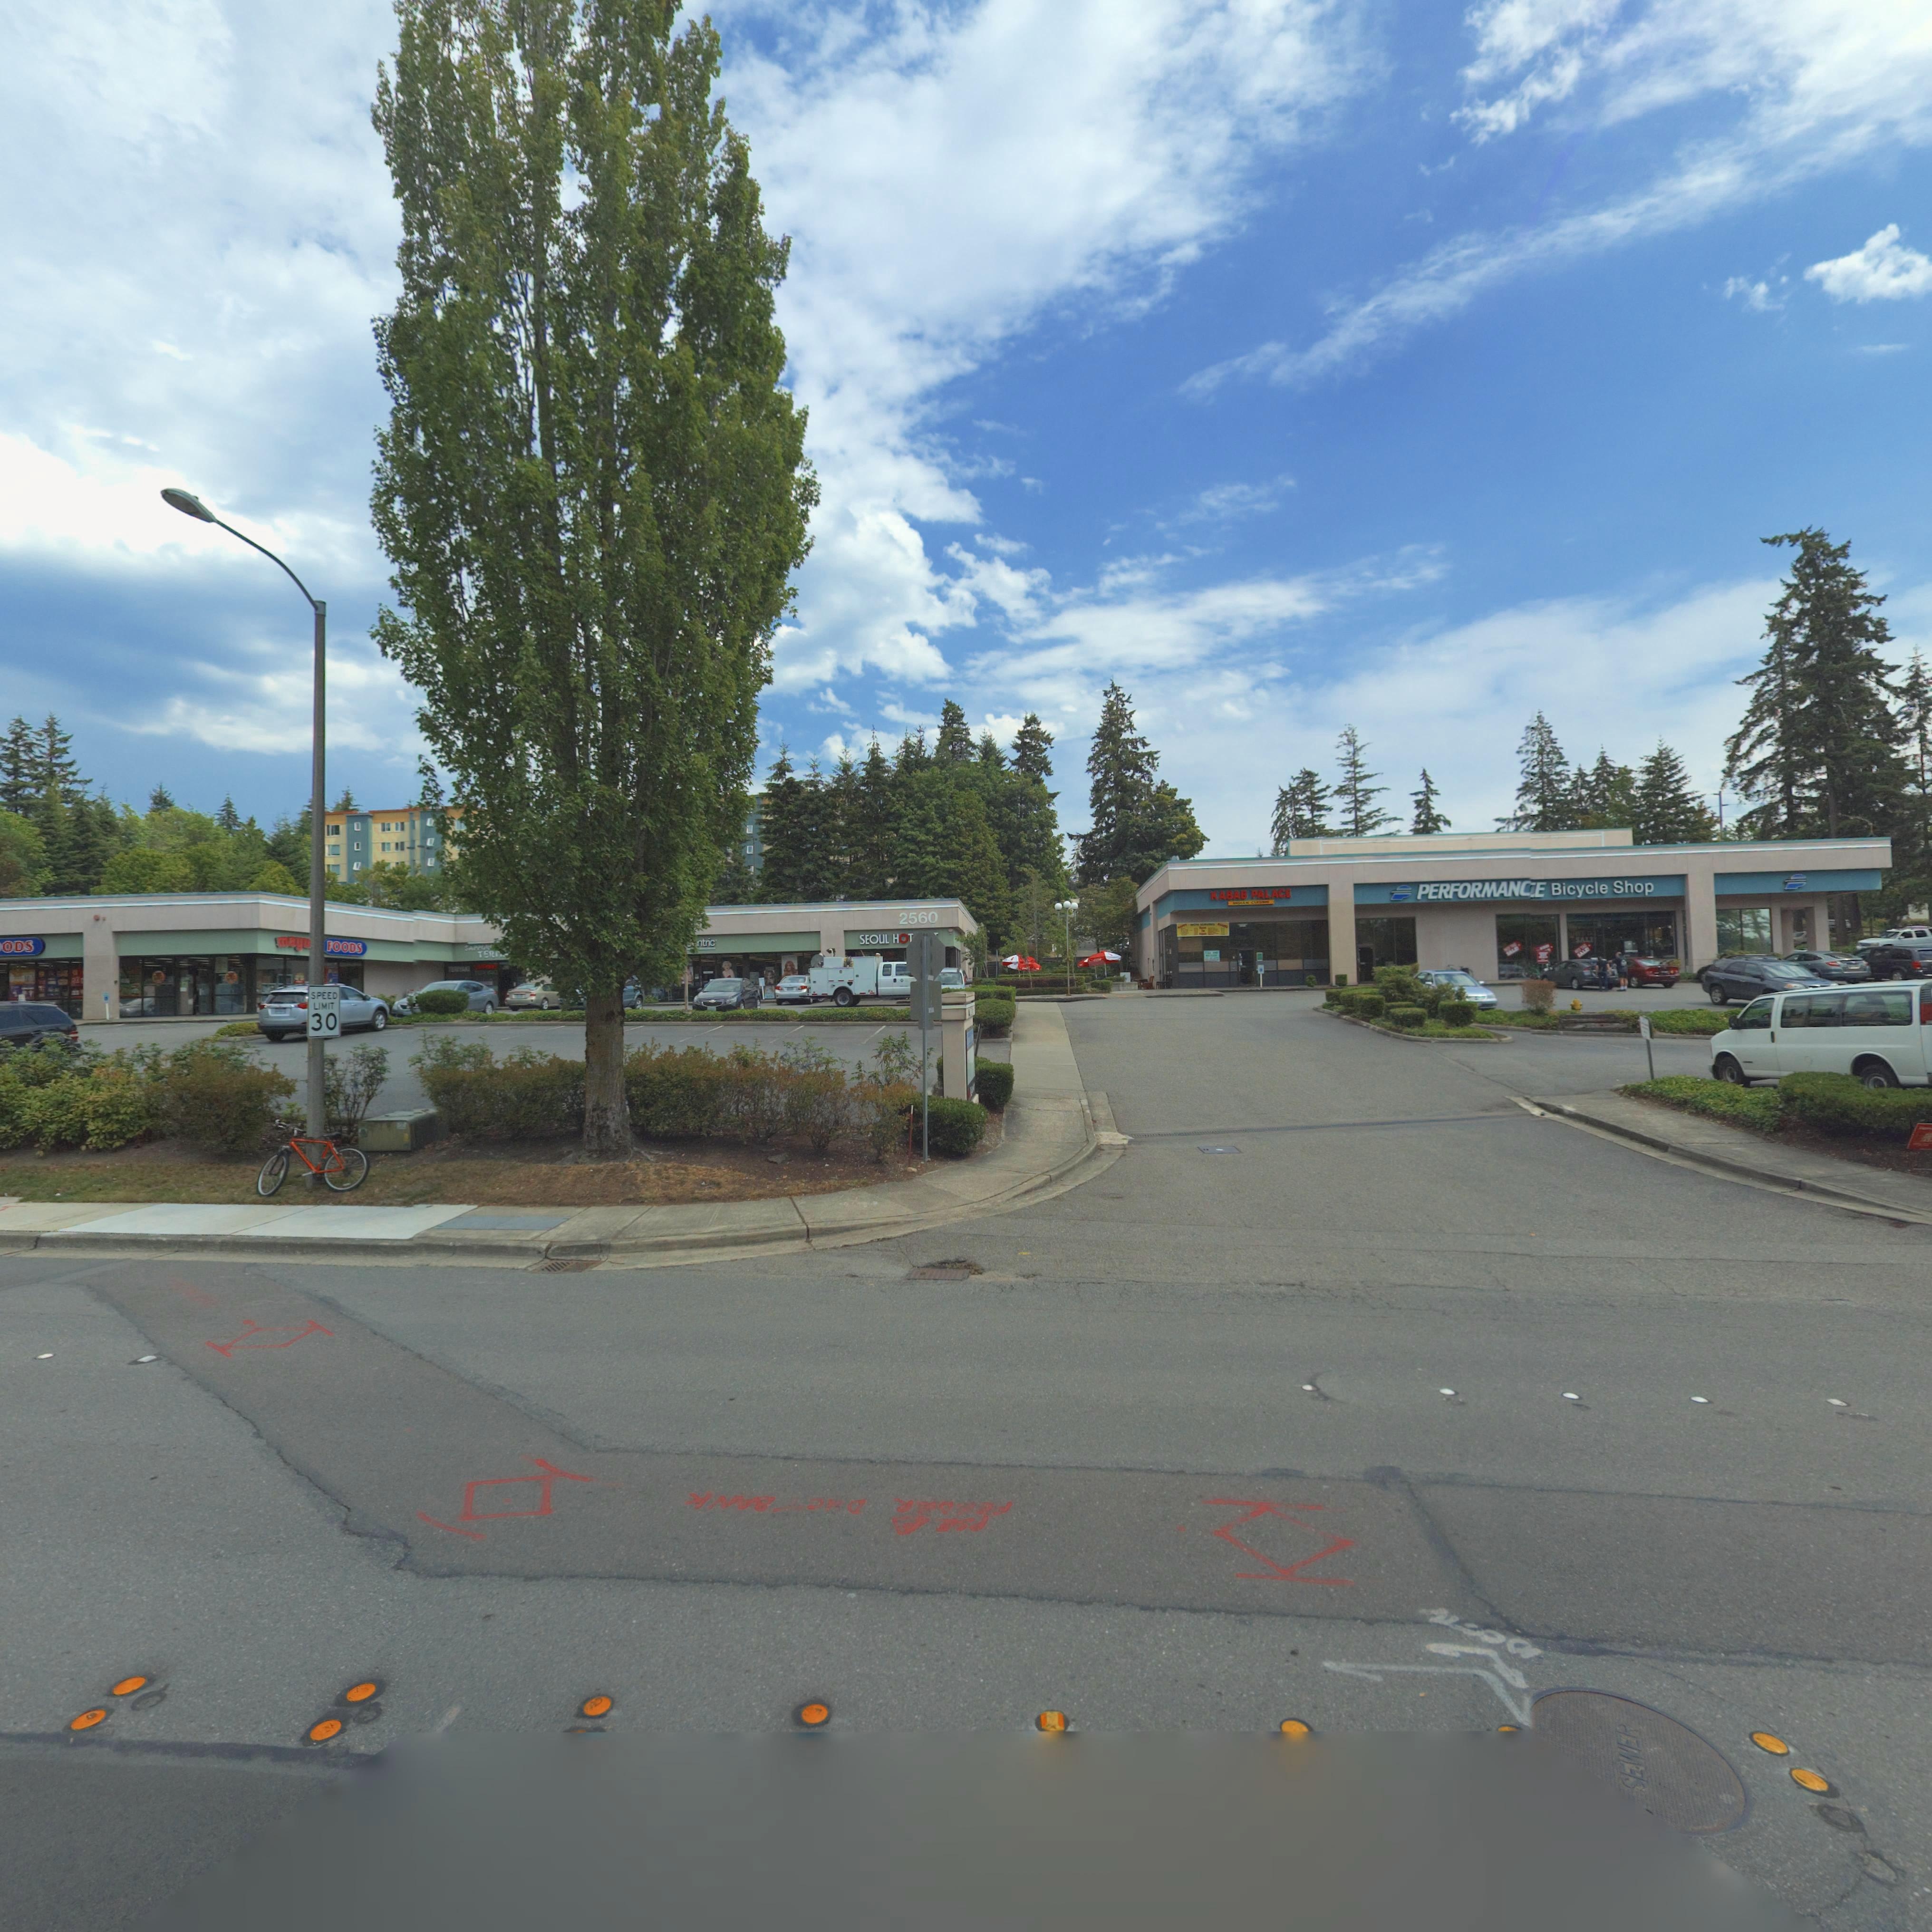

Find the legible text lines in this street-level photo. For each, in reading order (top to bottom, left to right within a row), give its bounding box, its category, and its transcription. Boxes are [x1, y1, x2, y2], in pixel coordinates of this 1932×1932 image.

[1209, 888, 1292, 901] BusinessName: KABAB PALACE
[1417, 881, 1656, 899] BusinessName: PERFORMANC*E Bicycle Shop
[899, 911, 938, 924] StreetNumber: 2560
[2, 939, 34, 953] BusinessName: ODS
[276, 937, 310, 952] BusinessName: mayu
[325, 939, 363, 954] BusinessName: FOODS
[464, 944, 491, 951] BusinessName: SAPPO**
[696, 938, 715, 947] BusinessName: ntric
[860, 932, 914, 945] BusinessName: SEOUL HOT
[478, 951, 502, 958] BusinessName: TER**